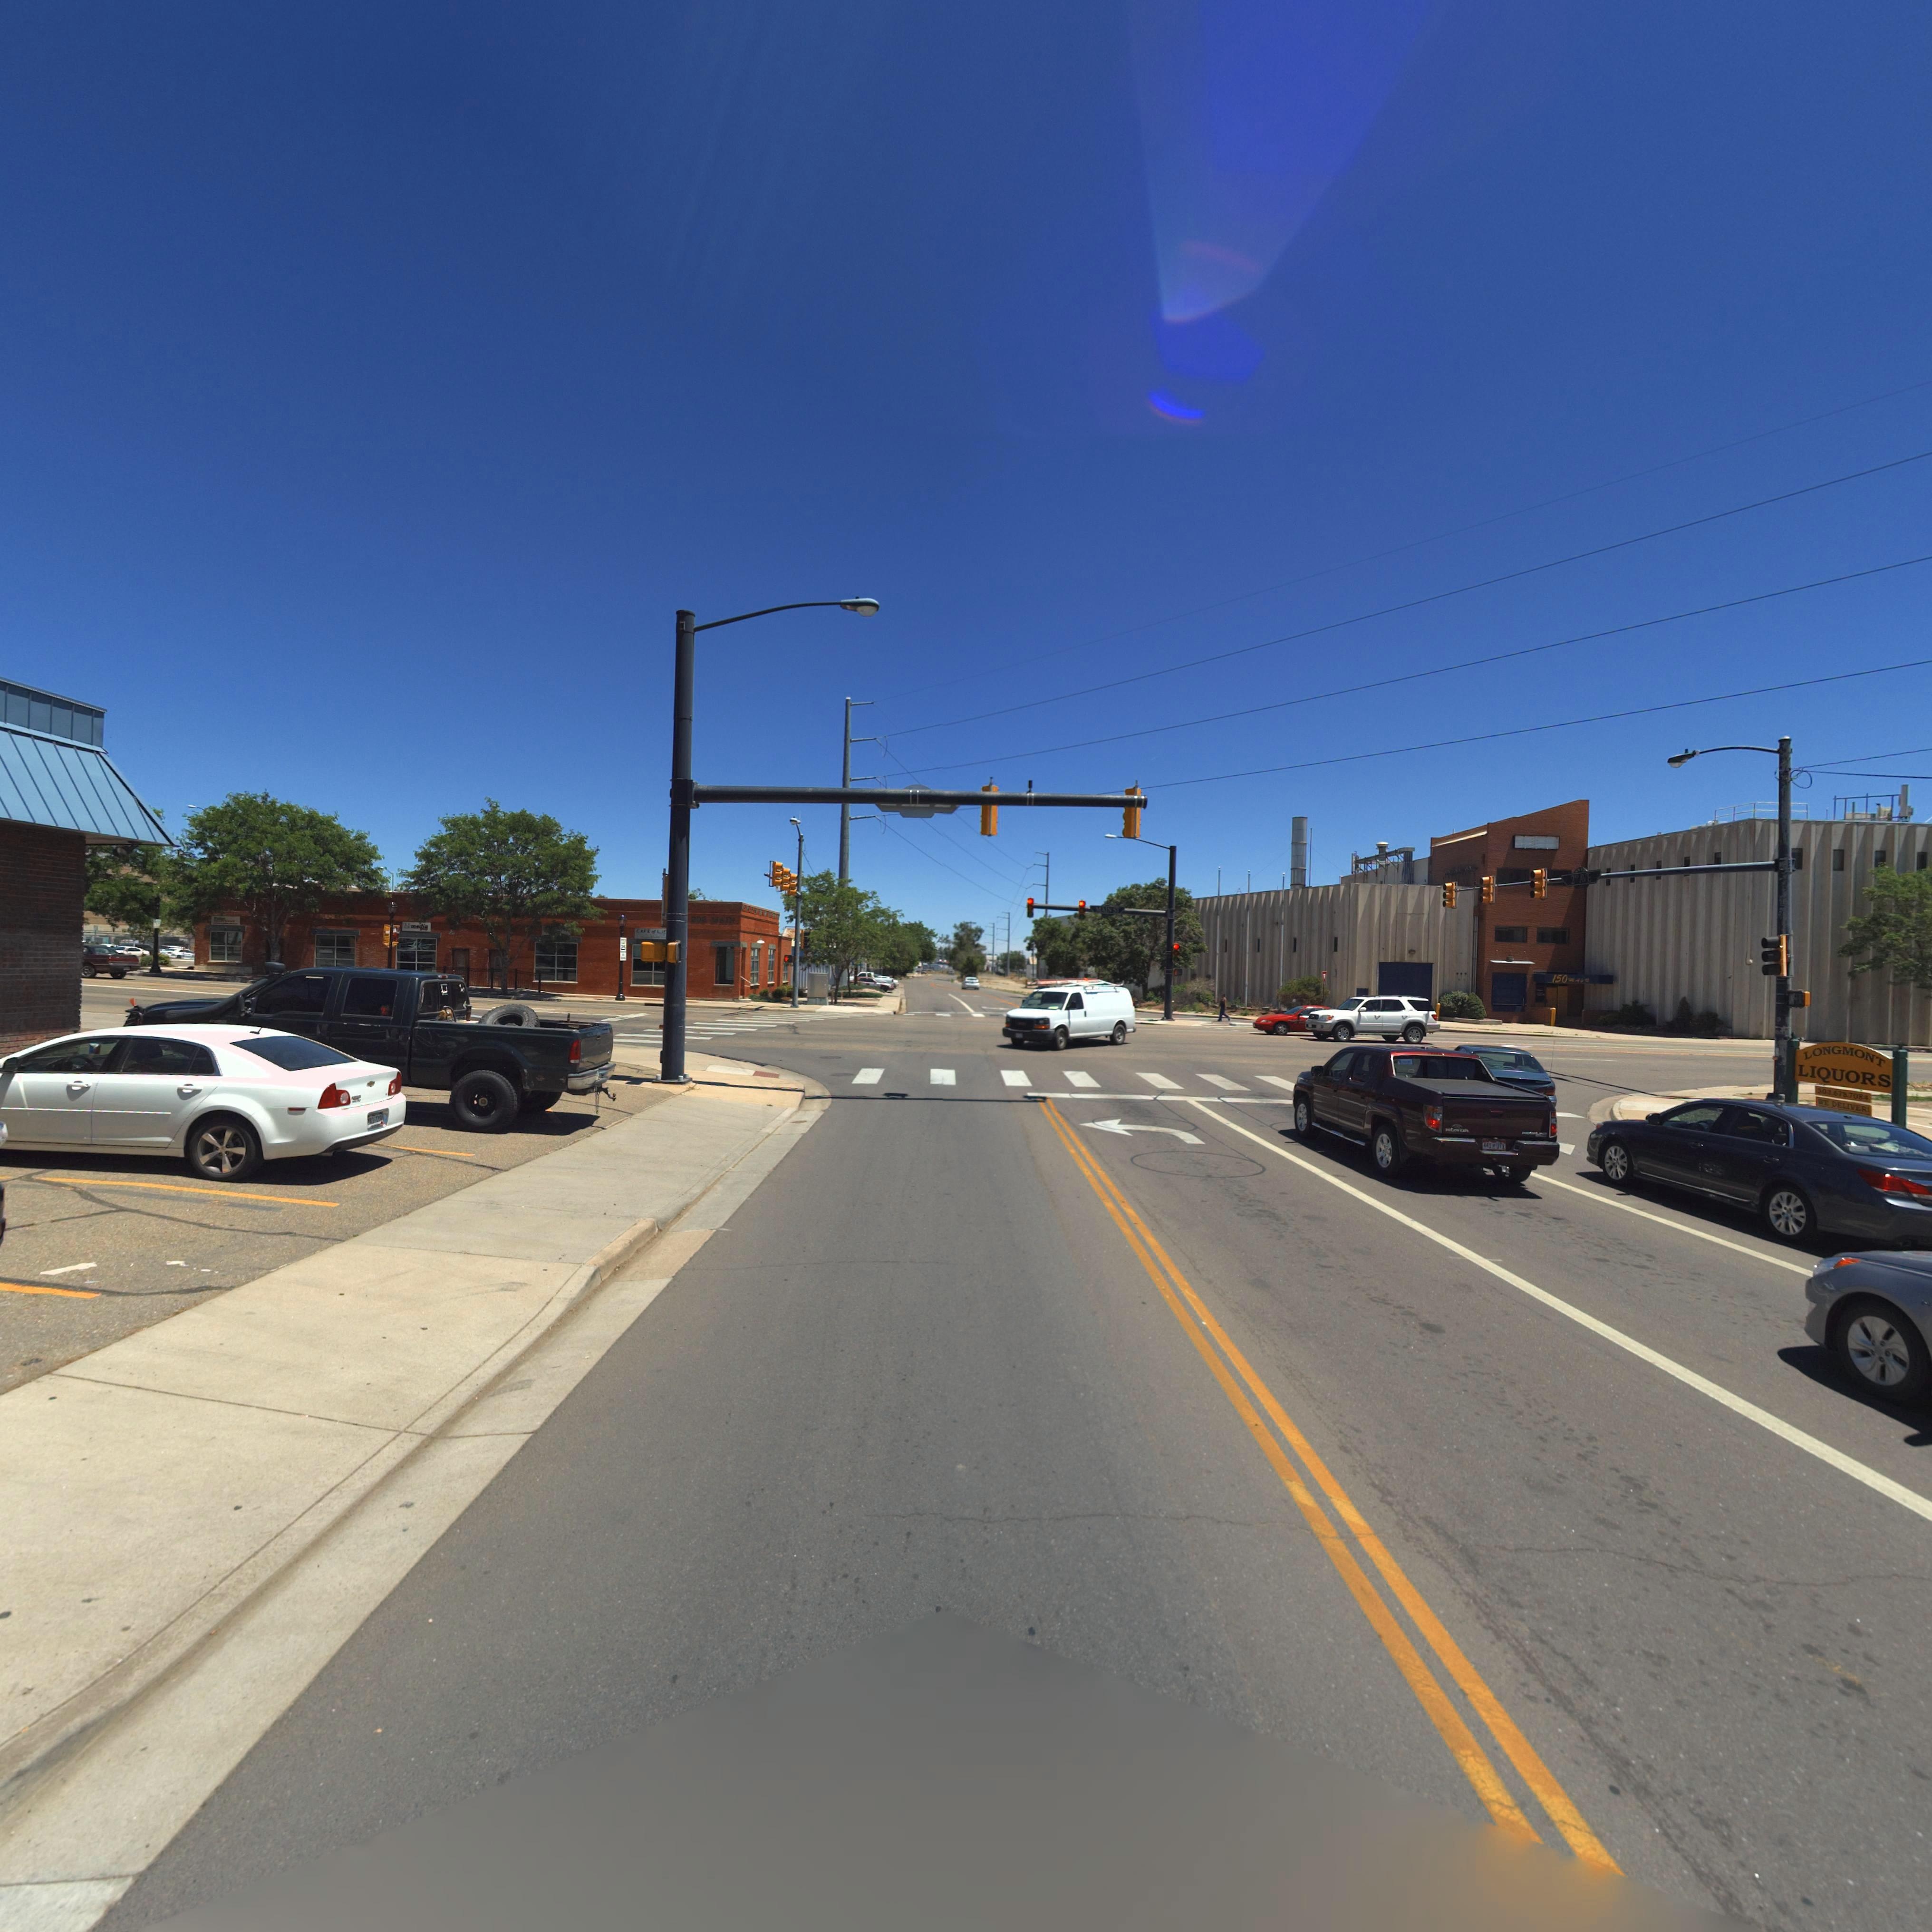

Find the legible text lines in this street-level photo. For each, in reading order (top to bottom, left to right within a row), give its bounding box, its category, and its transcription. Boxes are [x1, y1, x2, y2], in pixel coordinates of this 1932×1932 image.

[1095, 906, 1120, 913] StreetName: MAIN ST
[690, 916, 707, 923] StreetNumber: 202
[711, 917, 735, 923] StreetName: MAIN
[404, 922, 428, 929] BusinessName: b*media
[636, 928, 667, 934] BusinessName: CAFE of LIF
[1551, 974, 1568, 984] StreetNumber: 150
[1568, 977, 1589, 982] StreetName: MAIn
[1803, 1045, 1886, 1068] BusinessName: LONGMONT
[1797, 1064, 1891, 1088] BusinessName: LIQUORS